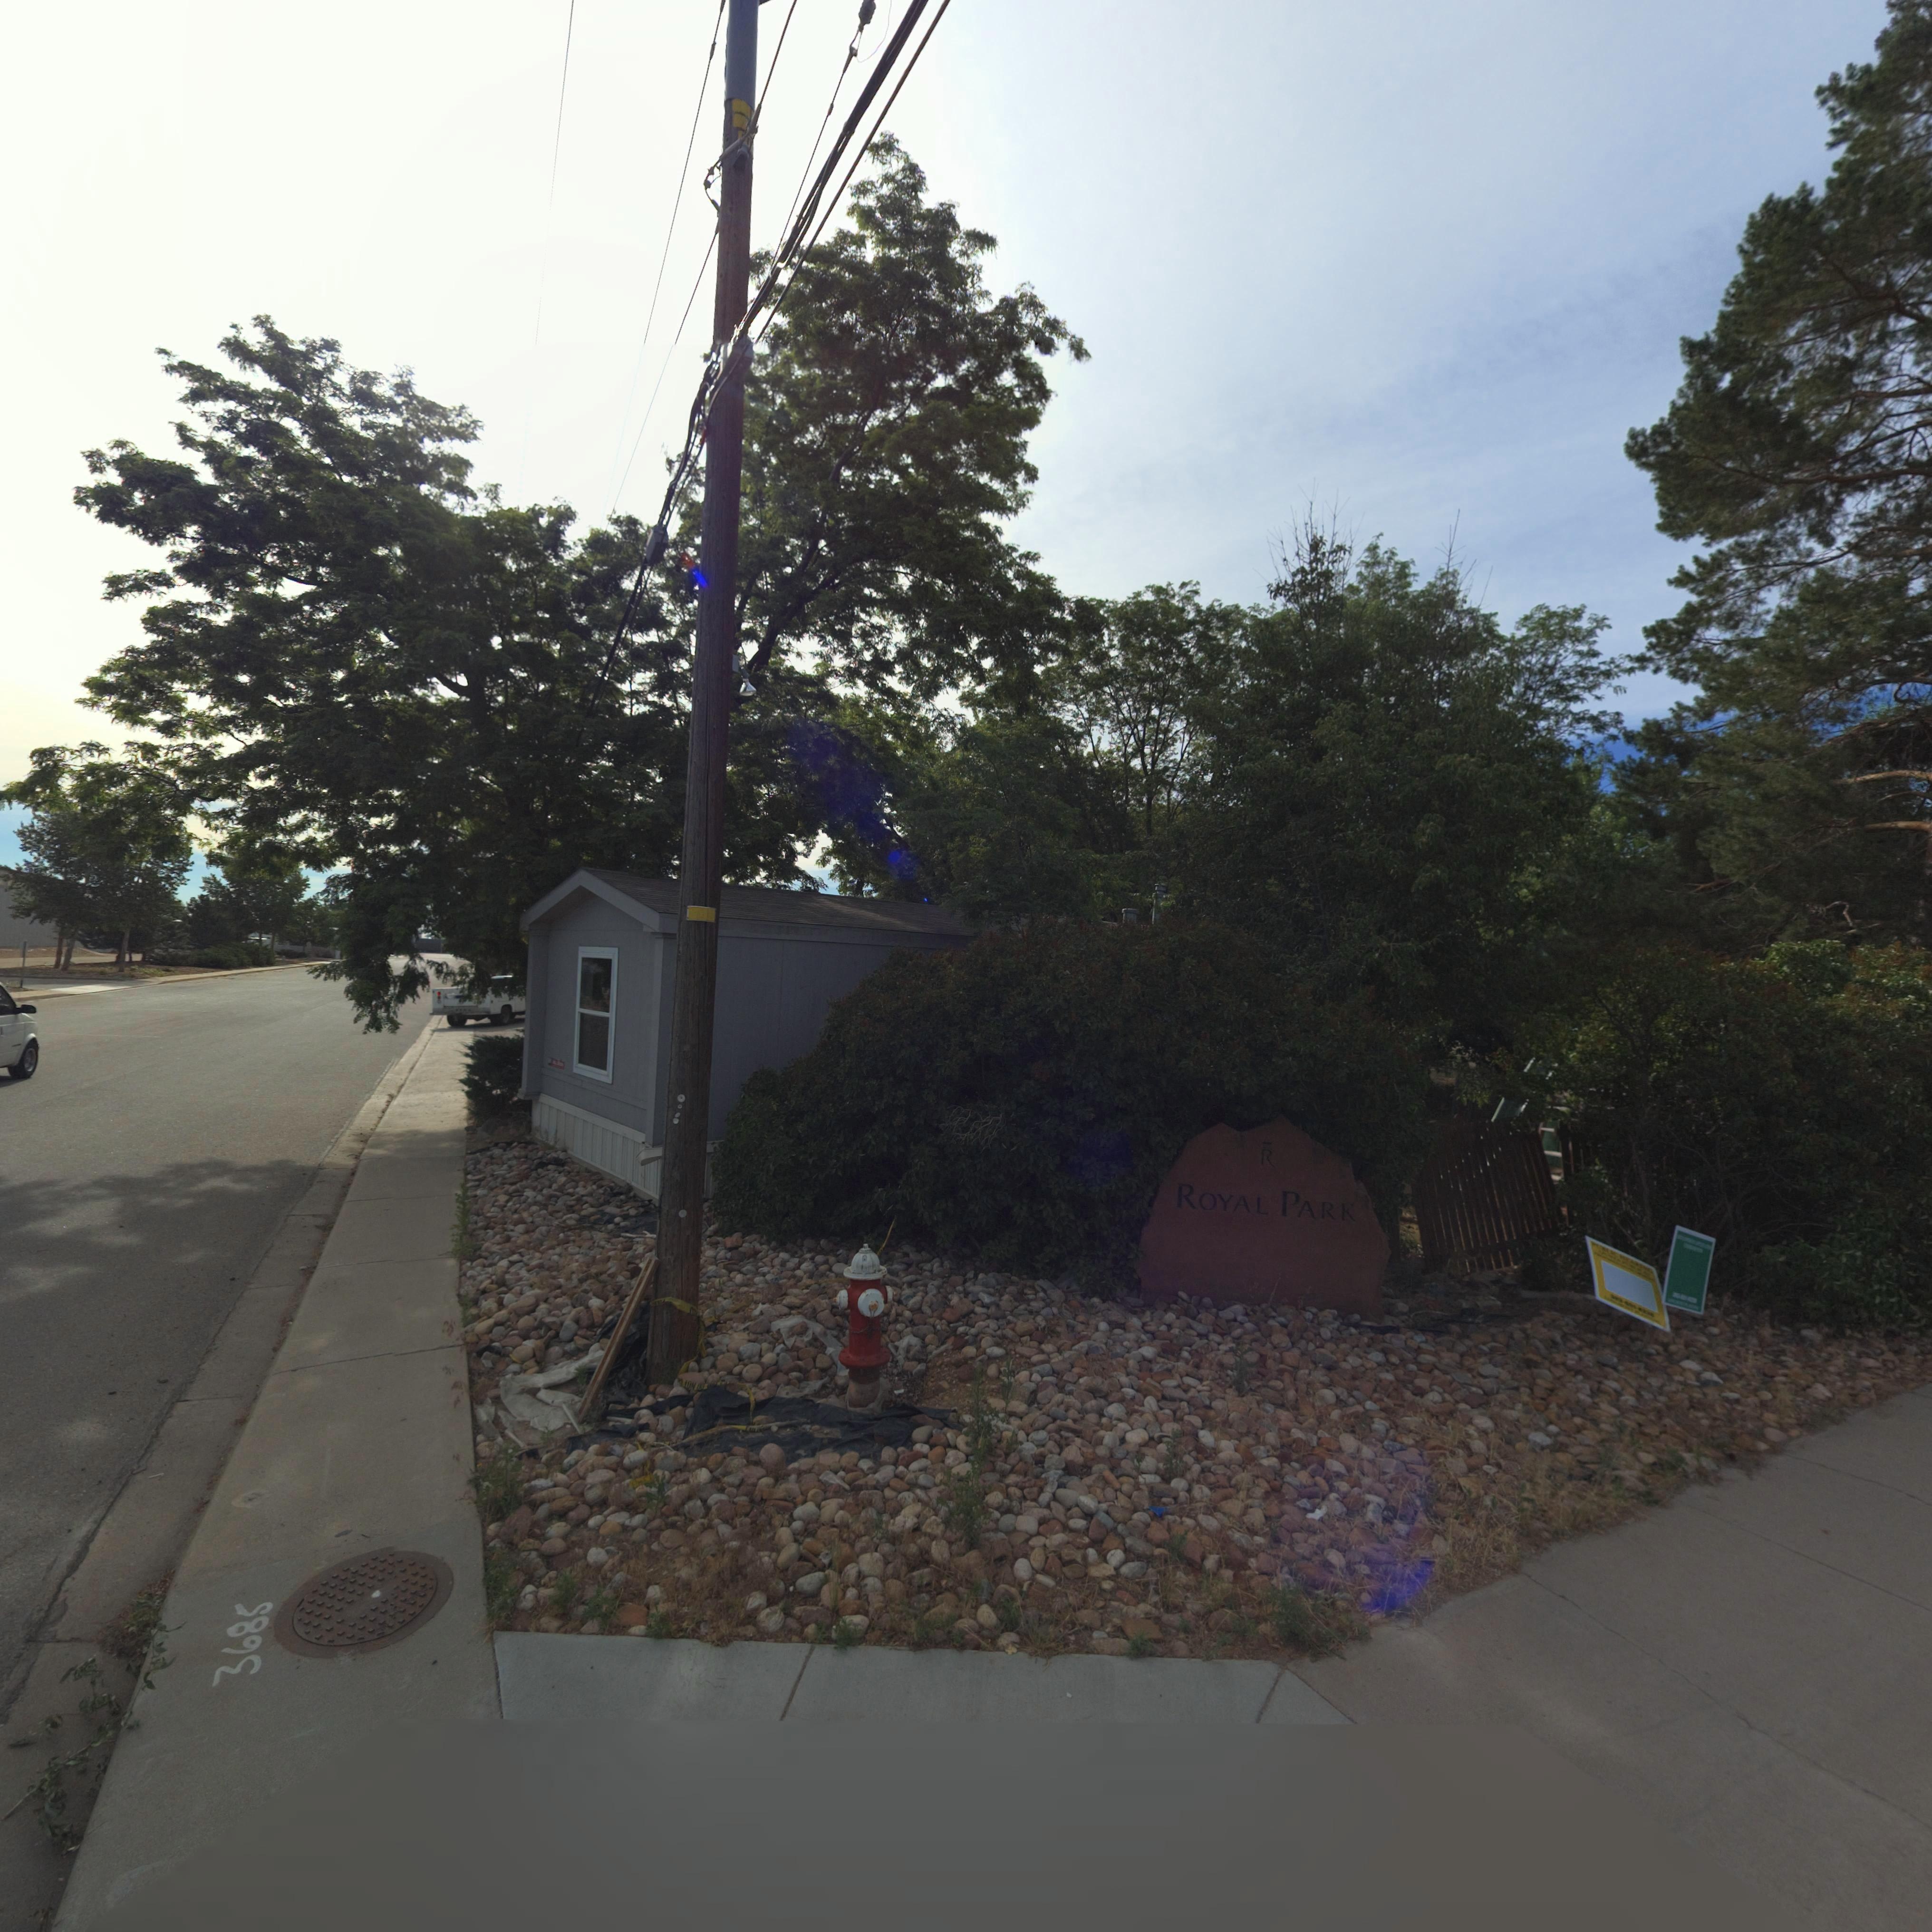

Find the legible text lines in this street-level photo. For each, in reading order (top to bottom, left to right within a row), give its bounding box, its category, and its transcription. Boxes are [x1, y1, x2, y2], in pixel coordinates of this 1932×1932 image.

[1176, 1183, 1355, 1221] BusinessName: ROYAL PARK